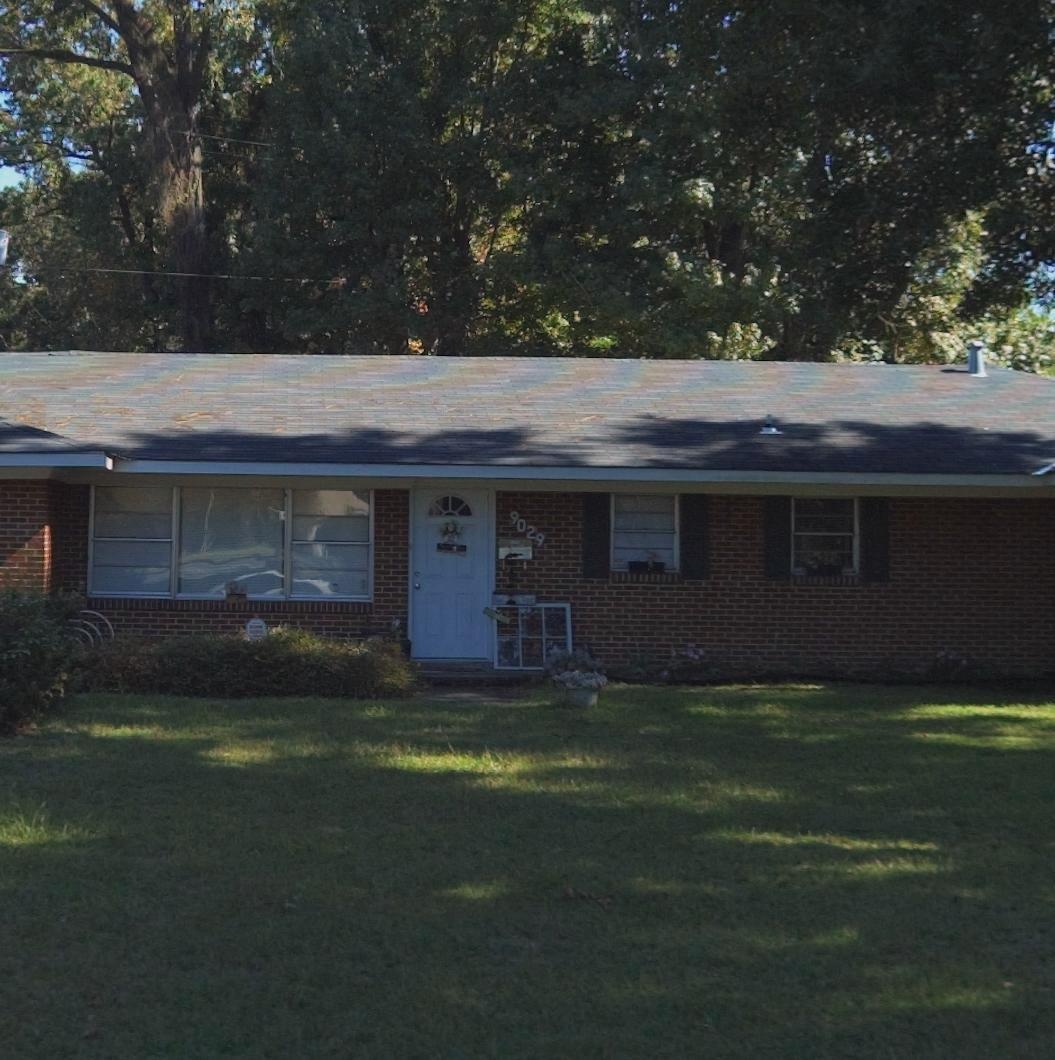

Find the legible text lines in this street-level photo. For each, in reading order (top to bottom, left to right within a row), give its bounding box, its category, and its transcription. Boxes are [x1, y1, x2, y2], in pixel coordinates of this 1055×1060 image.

[508, 509, 546, 549] StreetNumber: 9029